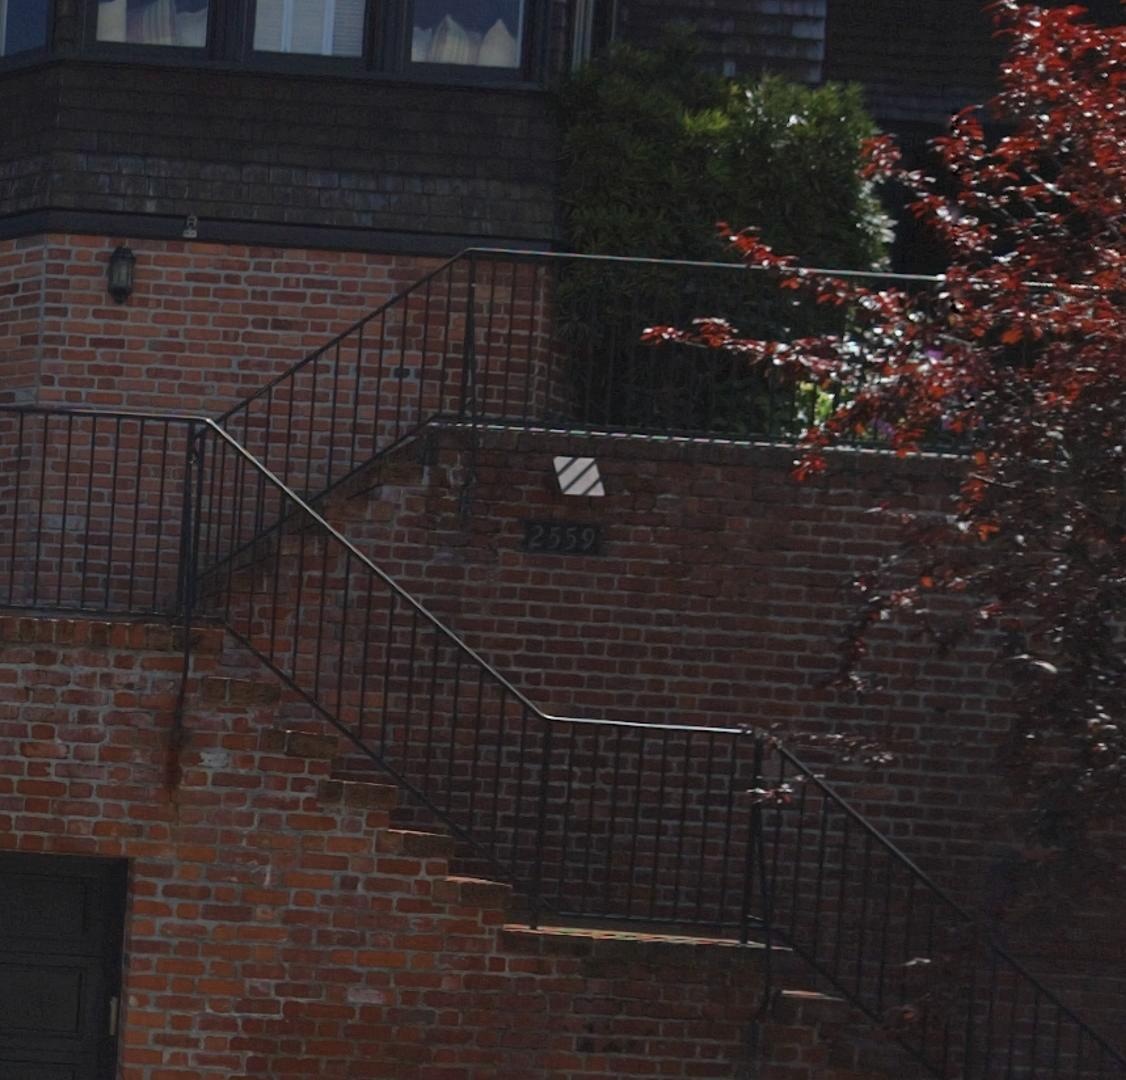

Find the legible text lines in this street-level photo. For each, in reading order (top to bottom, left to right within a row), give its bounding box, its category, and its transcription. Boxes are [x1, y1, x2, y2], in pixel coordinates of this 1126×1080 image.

[528, 525, 595, 552] StreetNumber: 2559